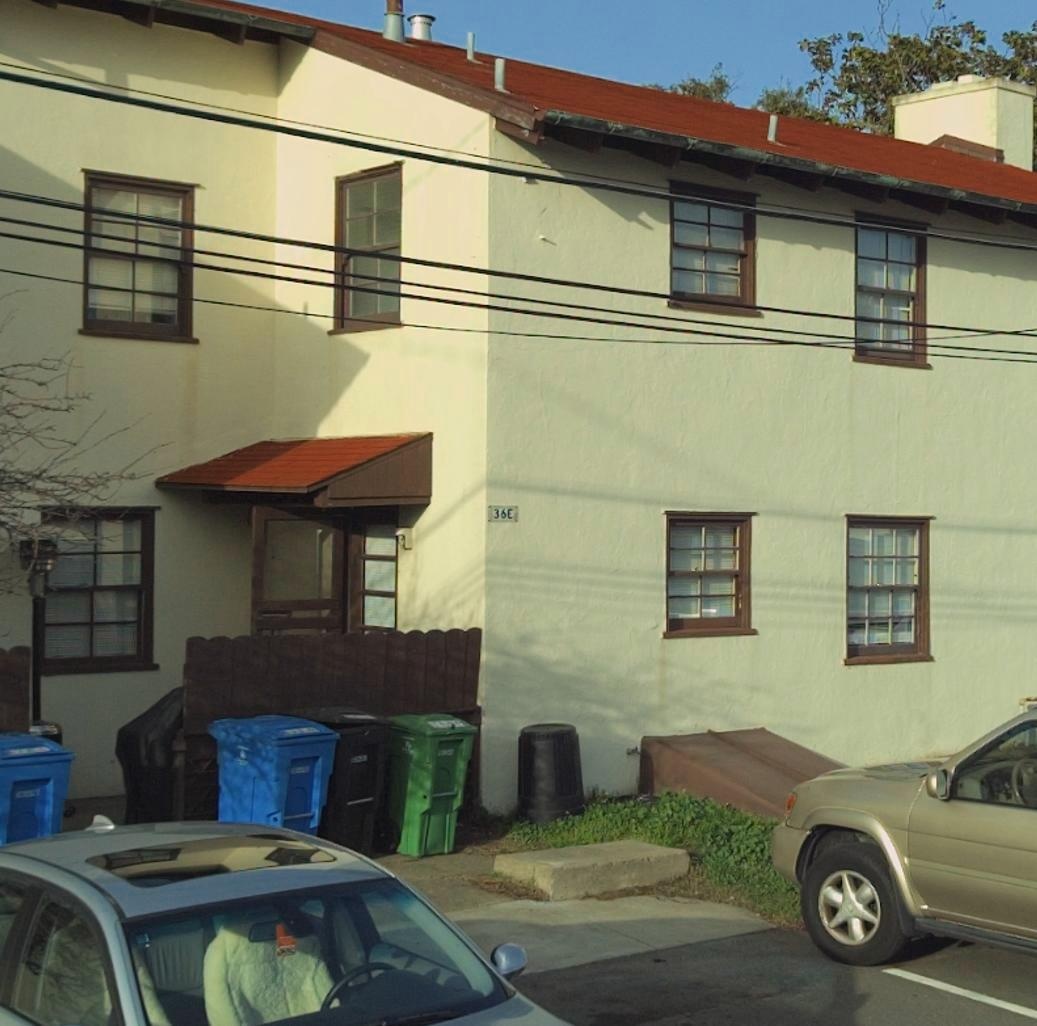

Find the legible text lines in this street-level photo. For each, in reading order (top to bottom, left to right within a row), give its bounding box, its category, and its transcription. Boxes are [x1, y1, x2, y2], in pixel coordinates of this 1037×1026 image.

[491, 506, 515, 521] StreetNumber: 36E